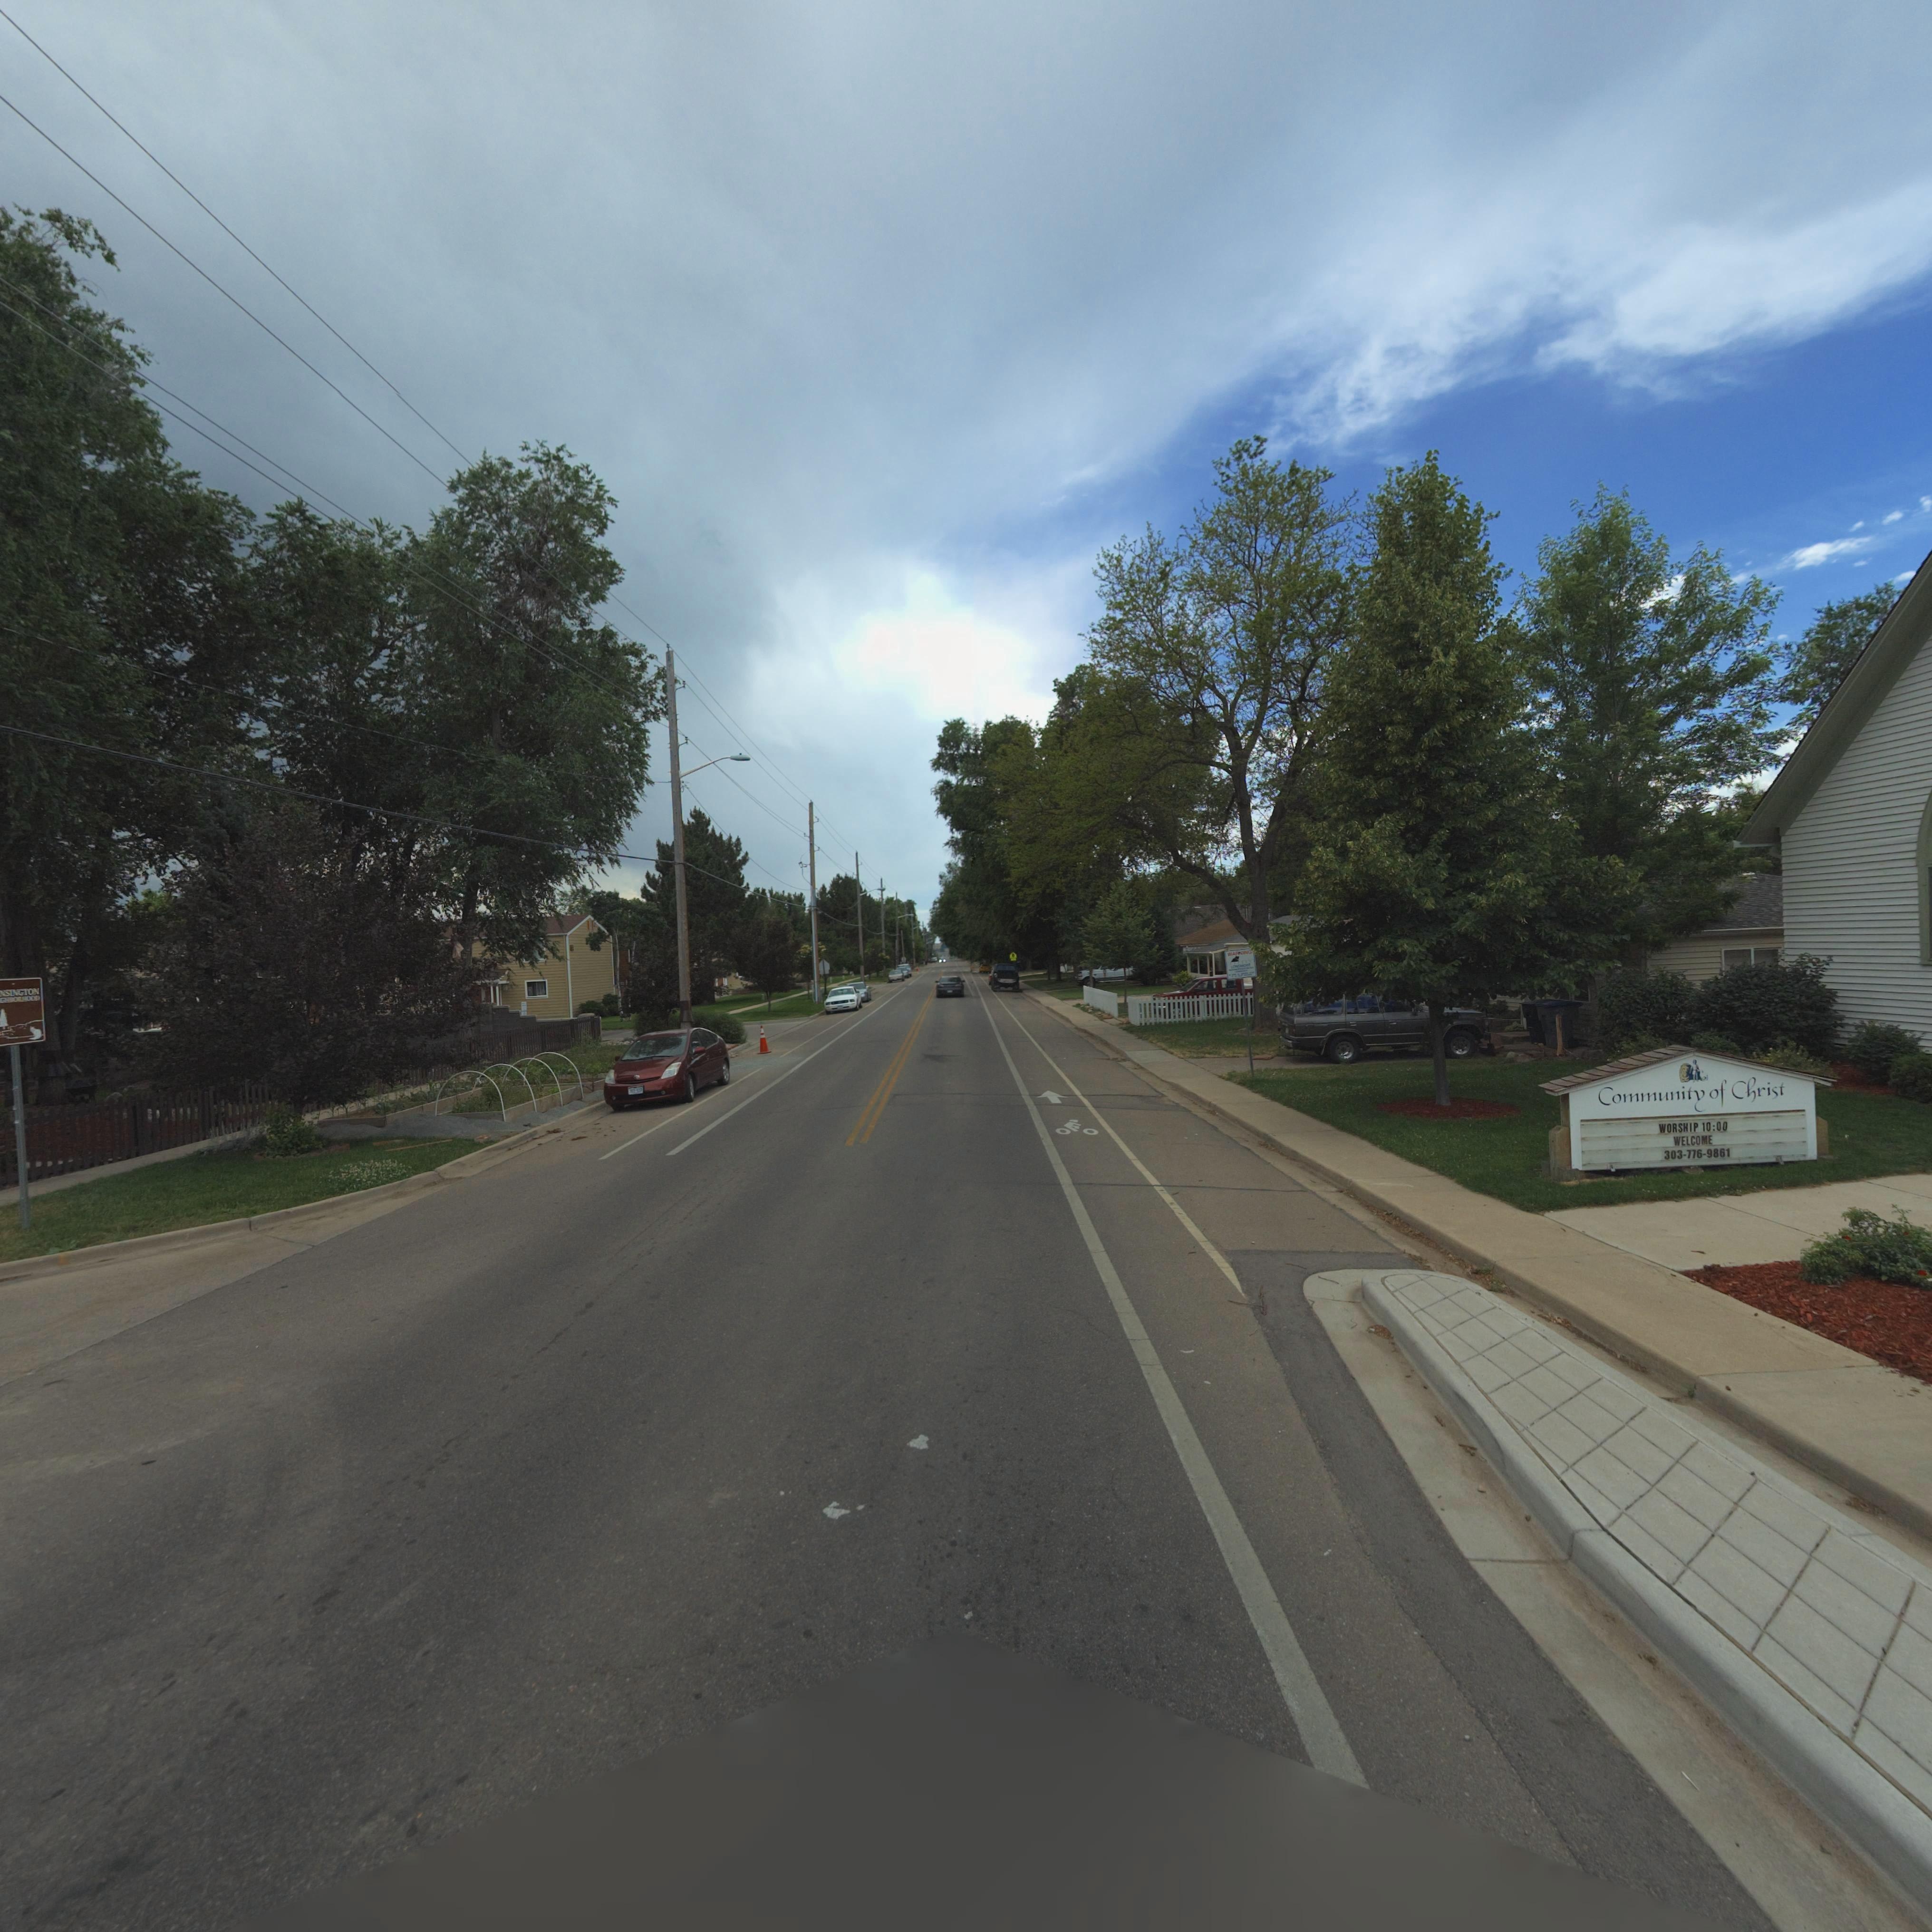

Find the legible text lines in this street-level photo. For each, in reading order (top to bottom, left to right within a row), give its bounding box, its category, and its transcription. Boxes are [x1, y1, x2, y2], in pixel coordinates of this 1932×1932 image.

[1597, 1076, 1786, 1112] BusinessName: Community of Christ